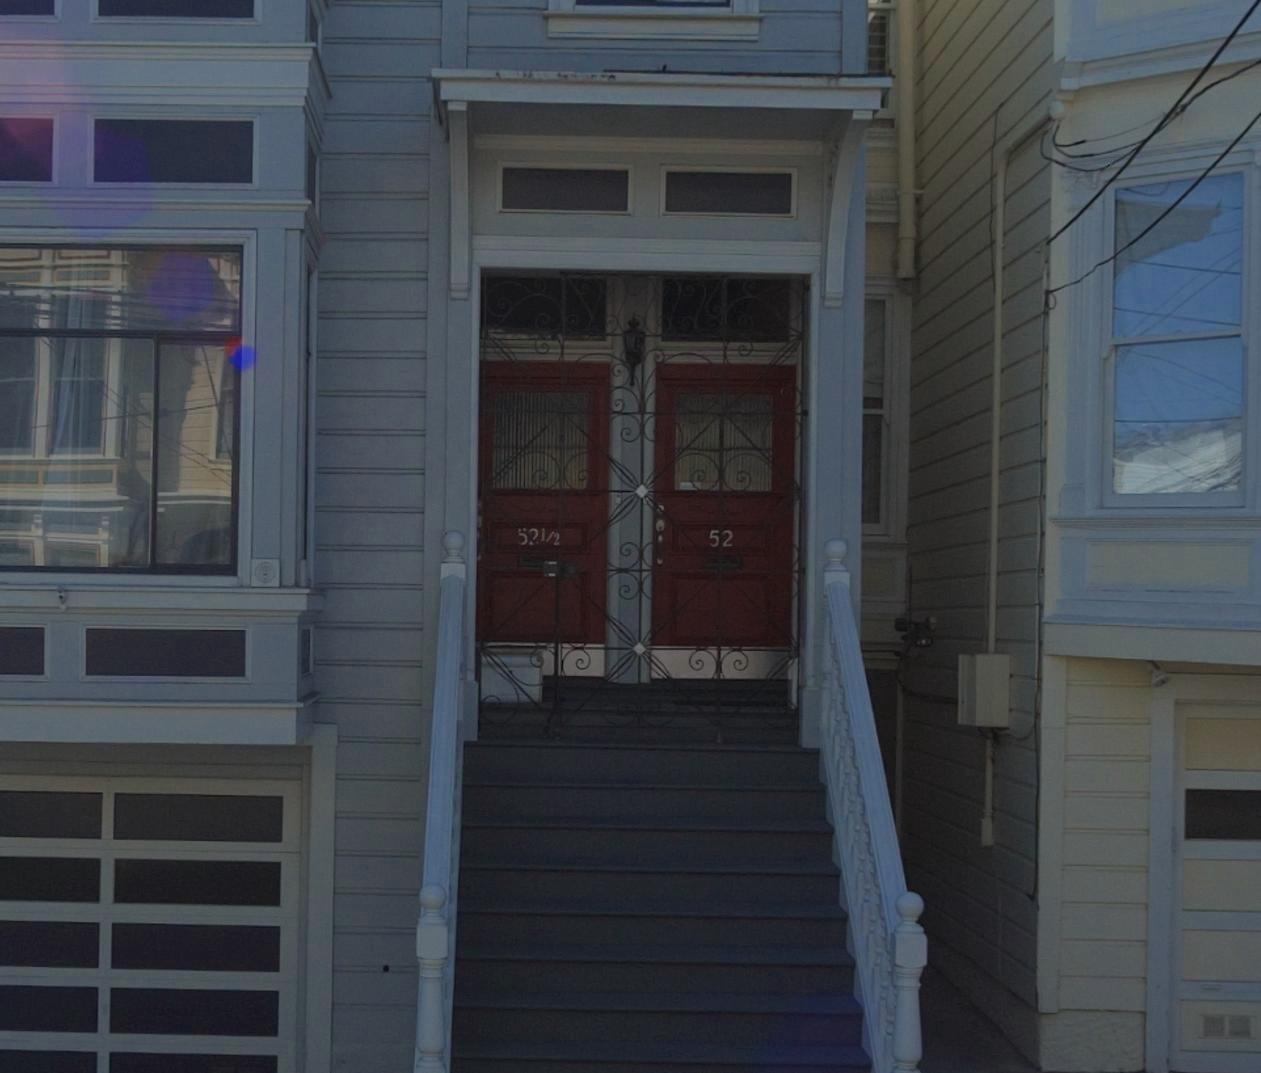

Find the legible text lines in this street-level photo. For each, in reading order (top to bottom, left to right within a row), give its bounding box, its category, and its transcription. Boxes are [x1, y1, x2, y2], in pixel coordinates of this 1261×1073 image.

[515, 526, 562, 548] StreetNumber: 5* 1/2
[708, 528, 734, 548] StreetNumber: 52